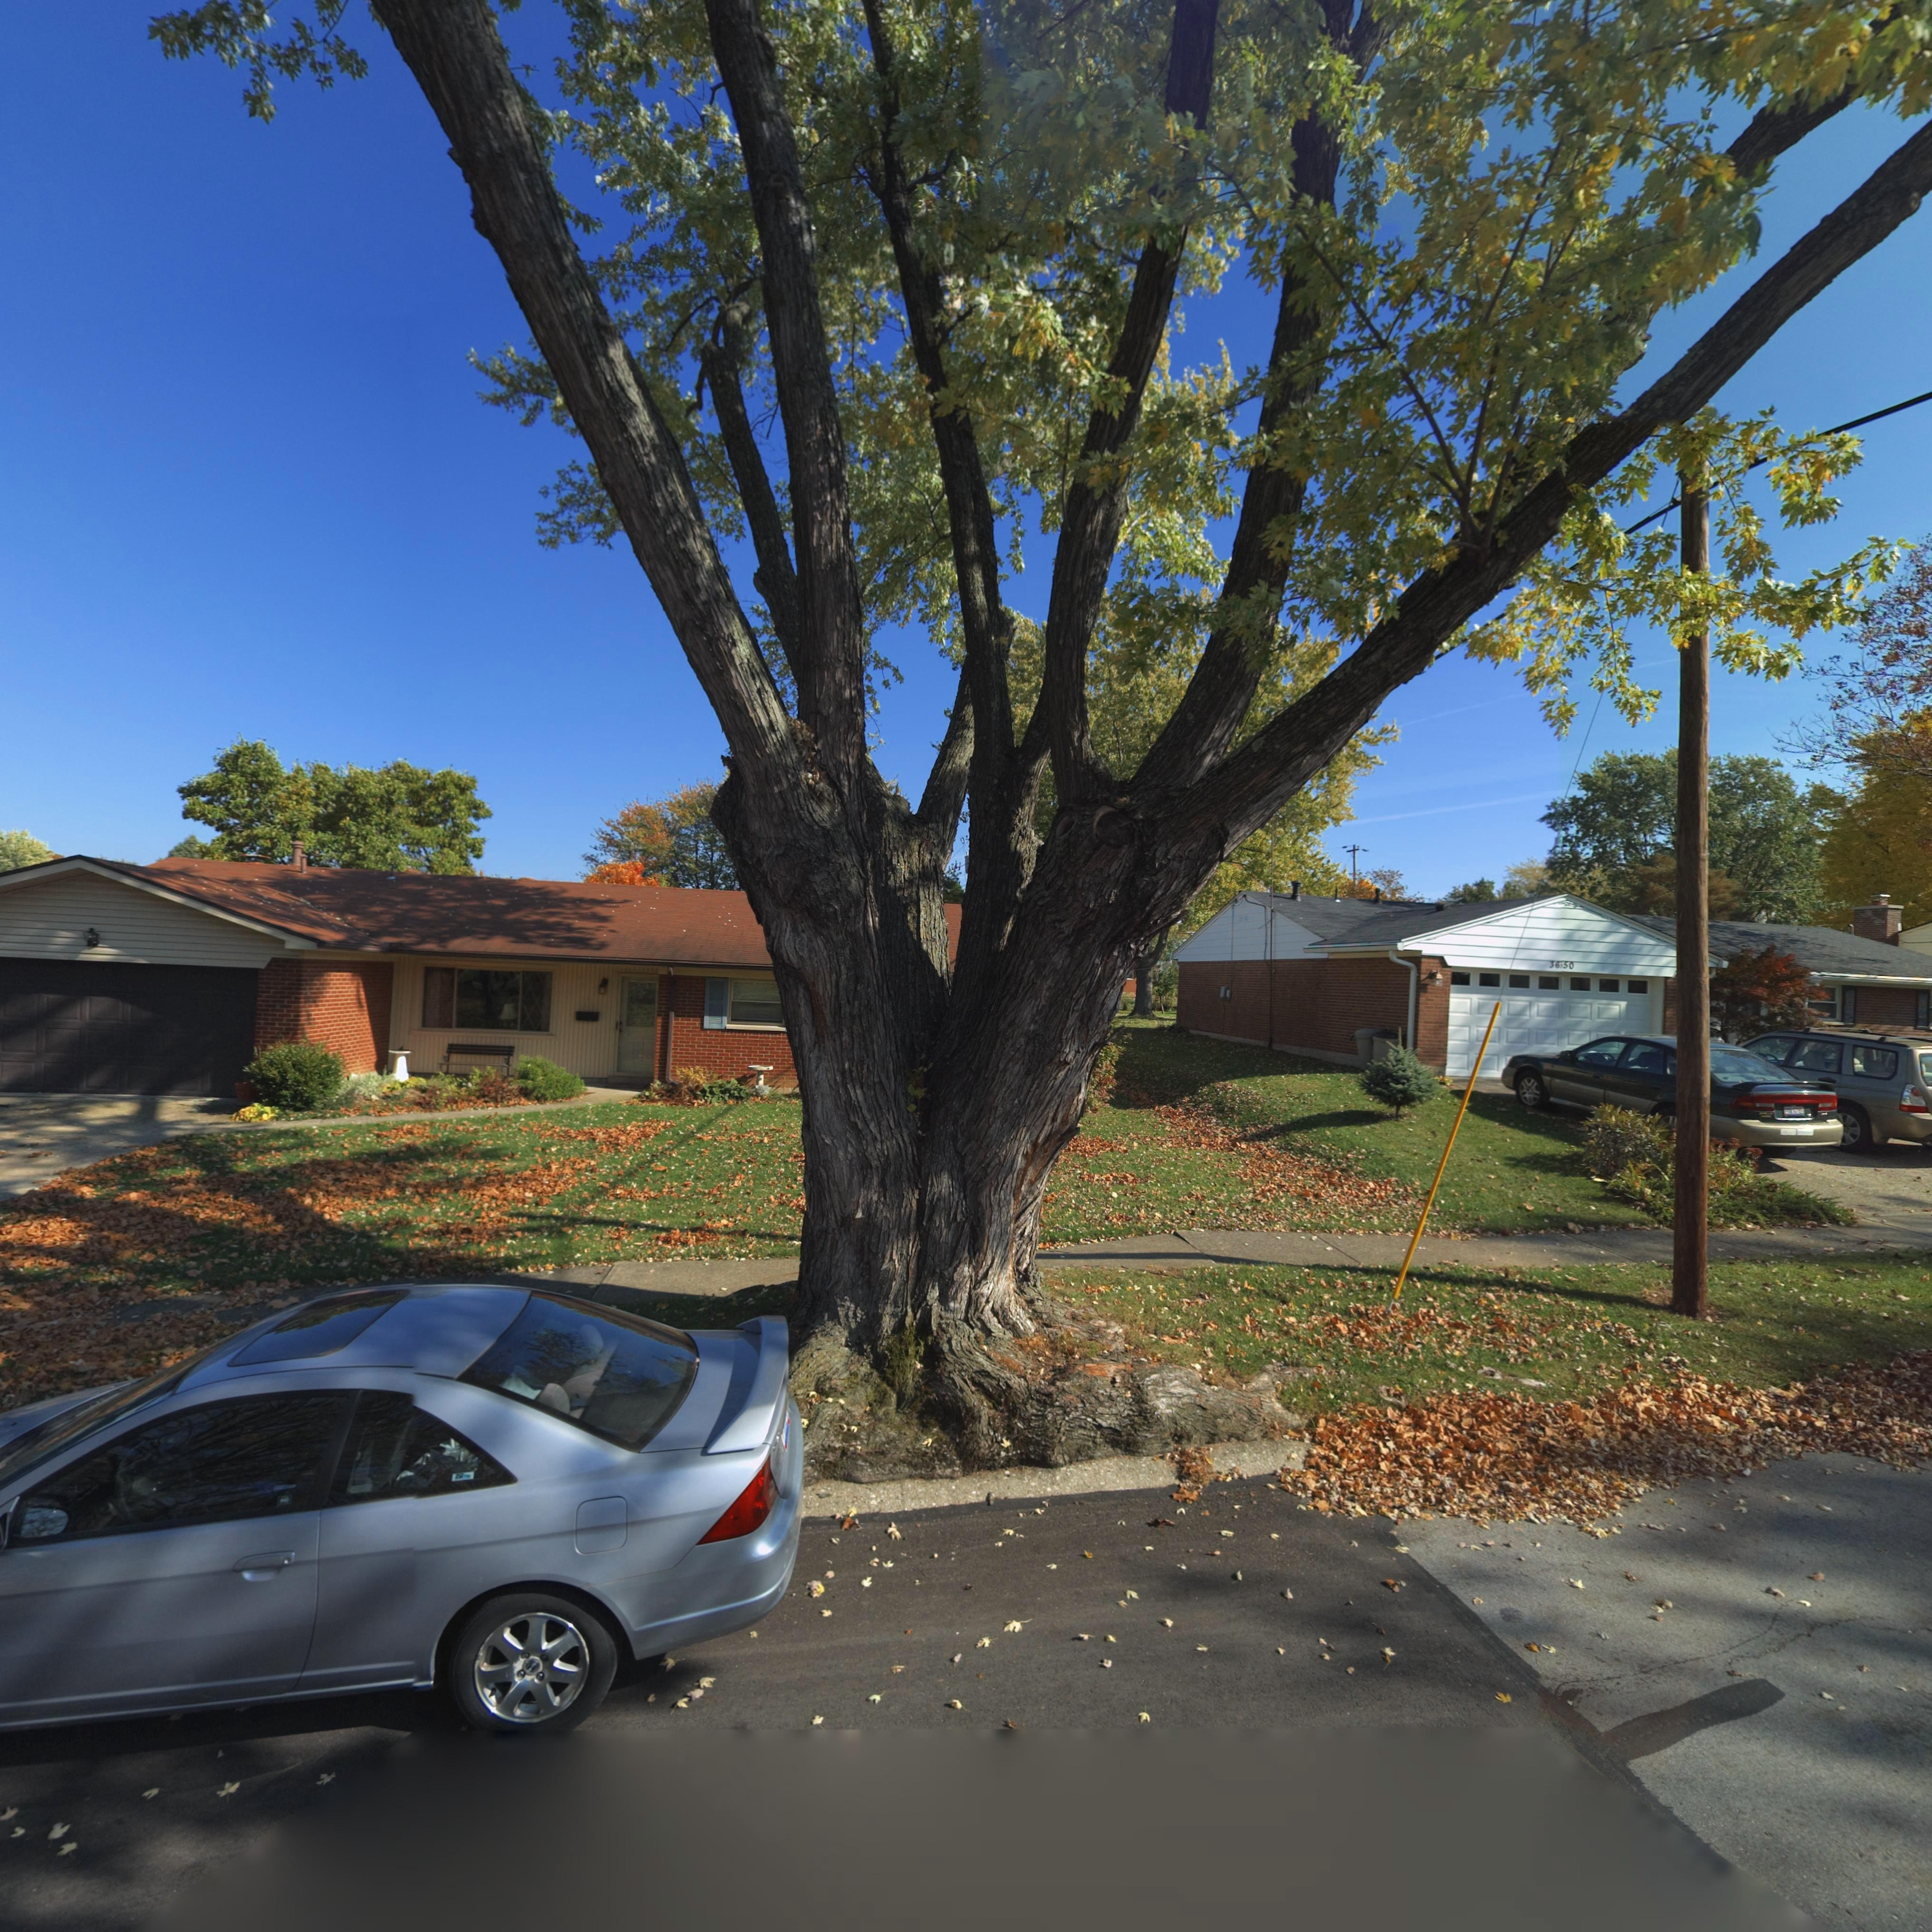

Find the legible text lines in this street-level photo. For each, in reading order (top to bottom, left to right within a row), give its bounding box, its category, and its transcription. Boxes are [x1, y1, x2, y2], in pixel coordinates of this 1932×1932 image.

[1547, 958, 1576, 971] StreetNumber: 36*50